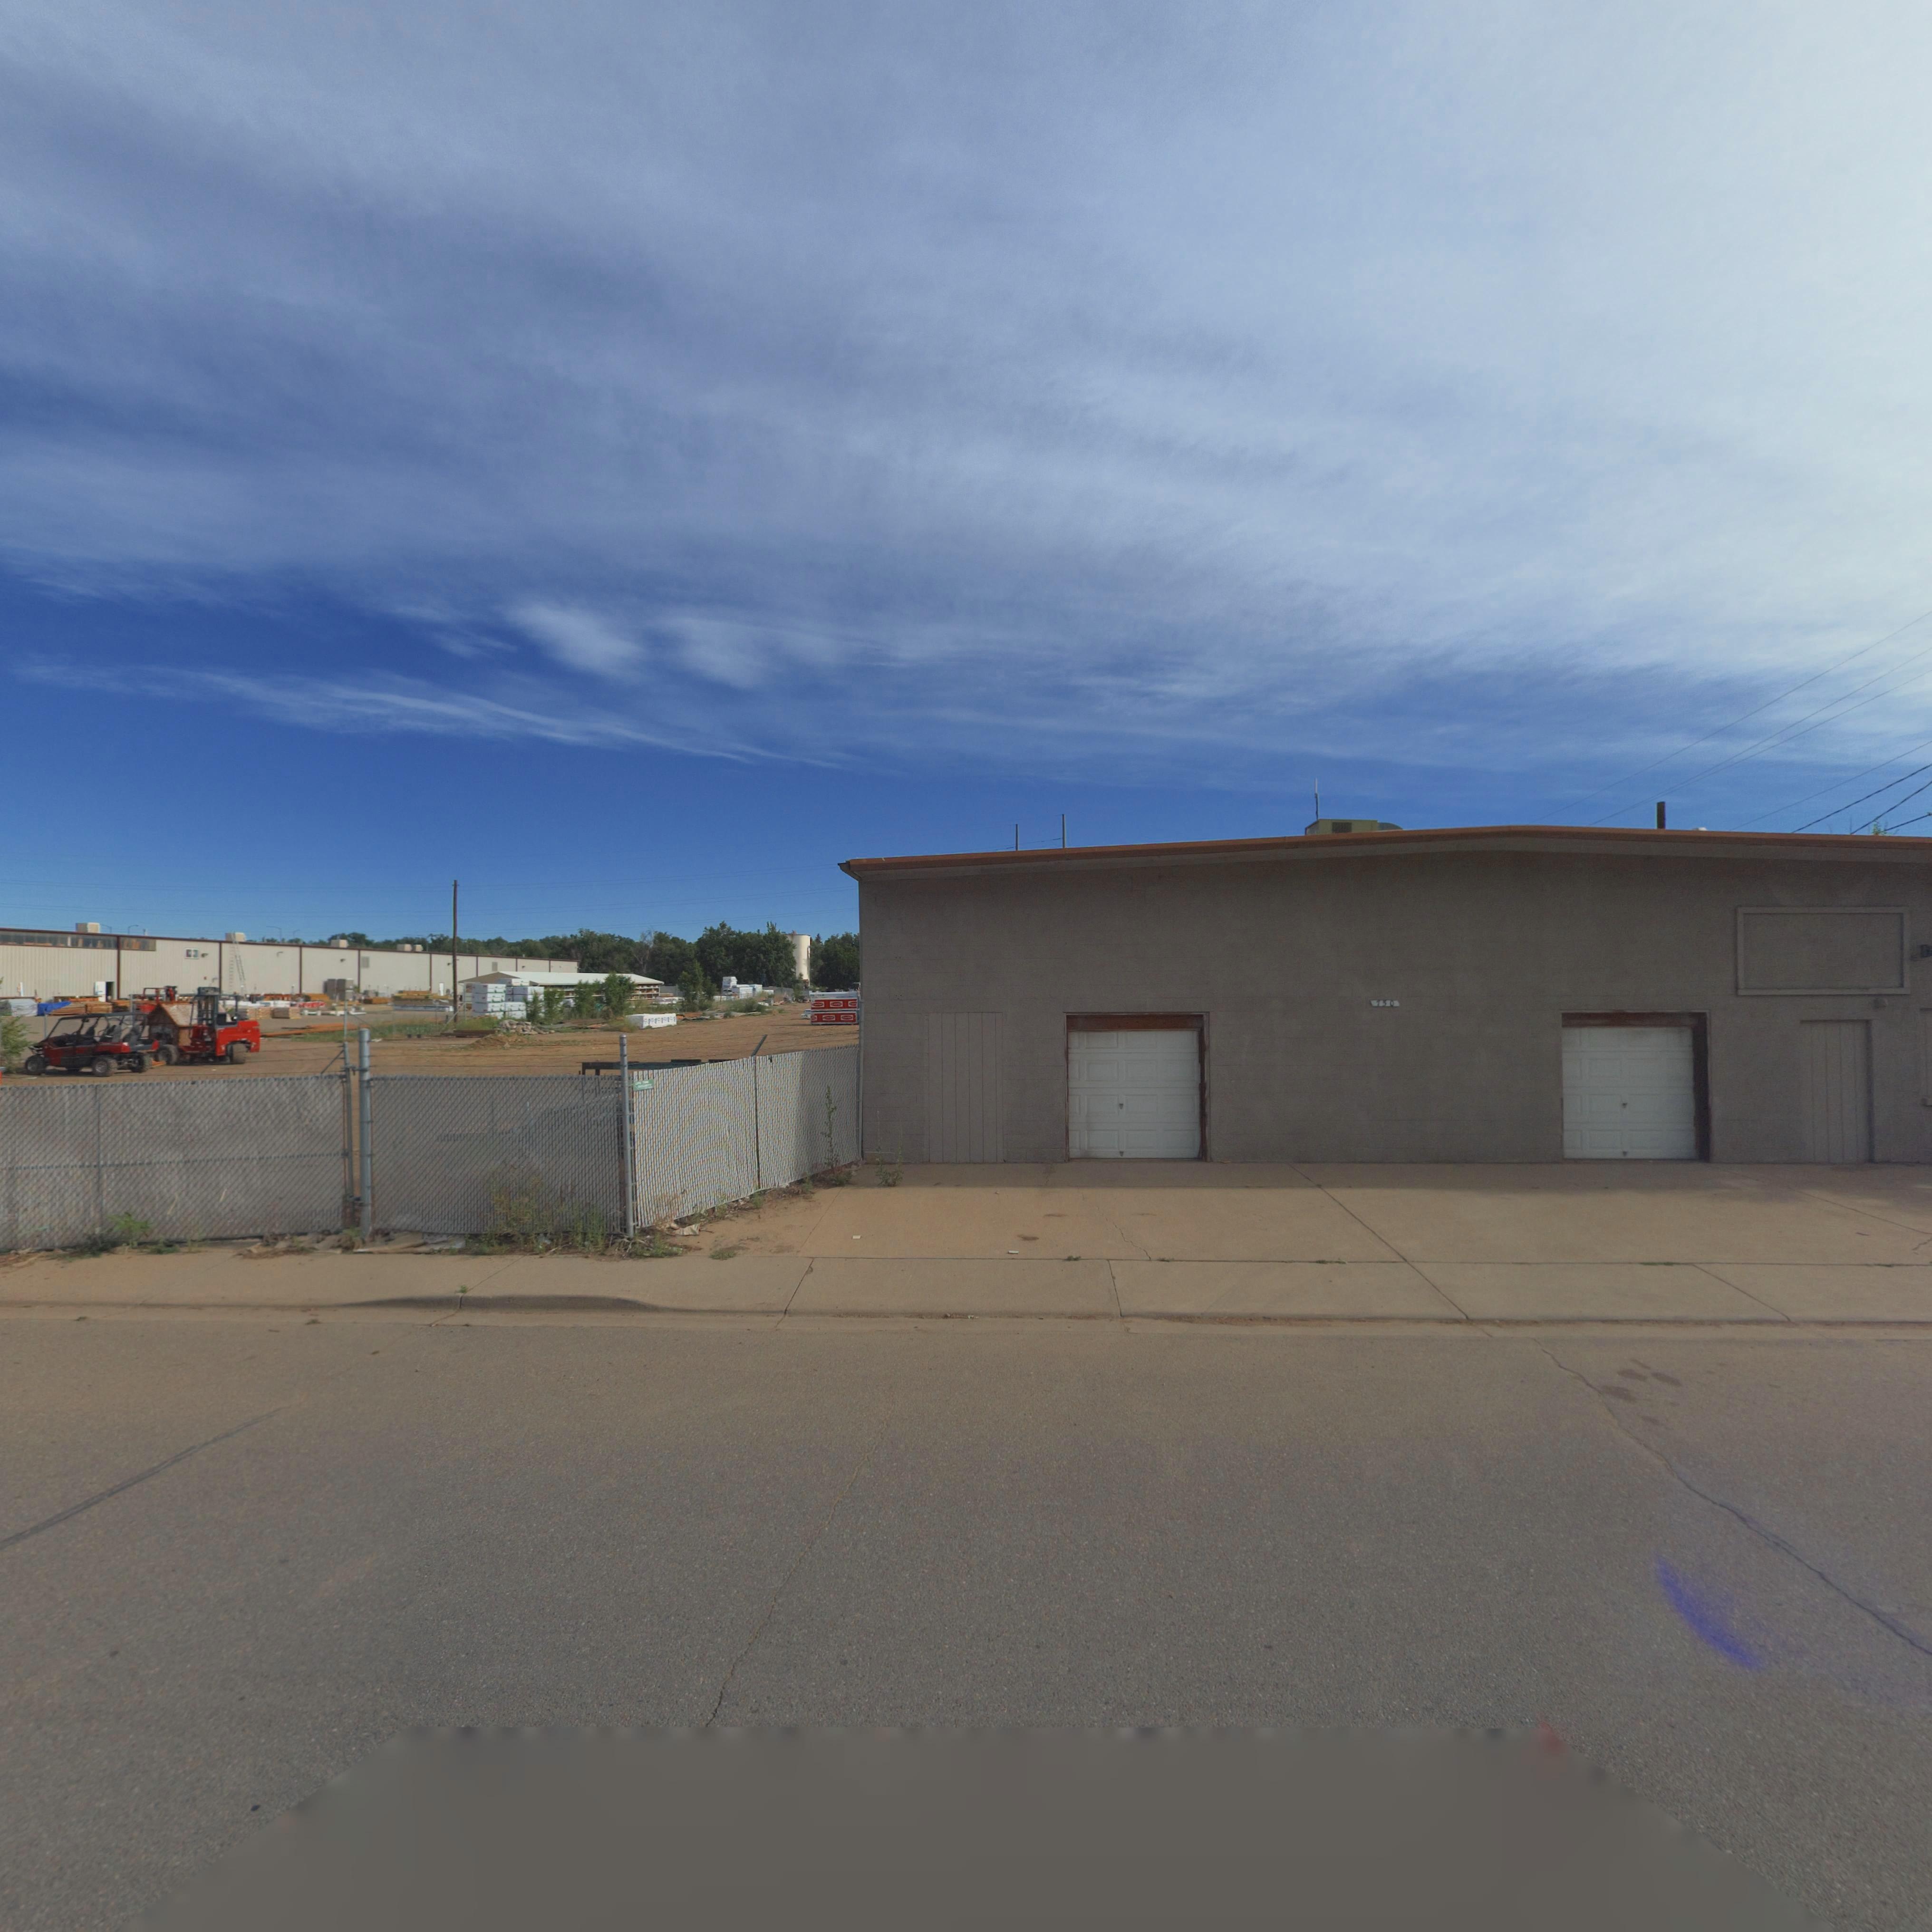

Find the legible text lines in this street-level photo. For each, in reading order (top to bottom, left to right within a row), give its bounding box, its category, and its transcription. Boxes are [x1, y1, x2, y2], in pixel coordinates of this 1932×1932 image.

[1376, 1000, 1394, 1006] StreetNumber: 750